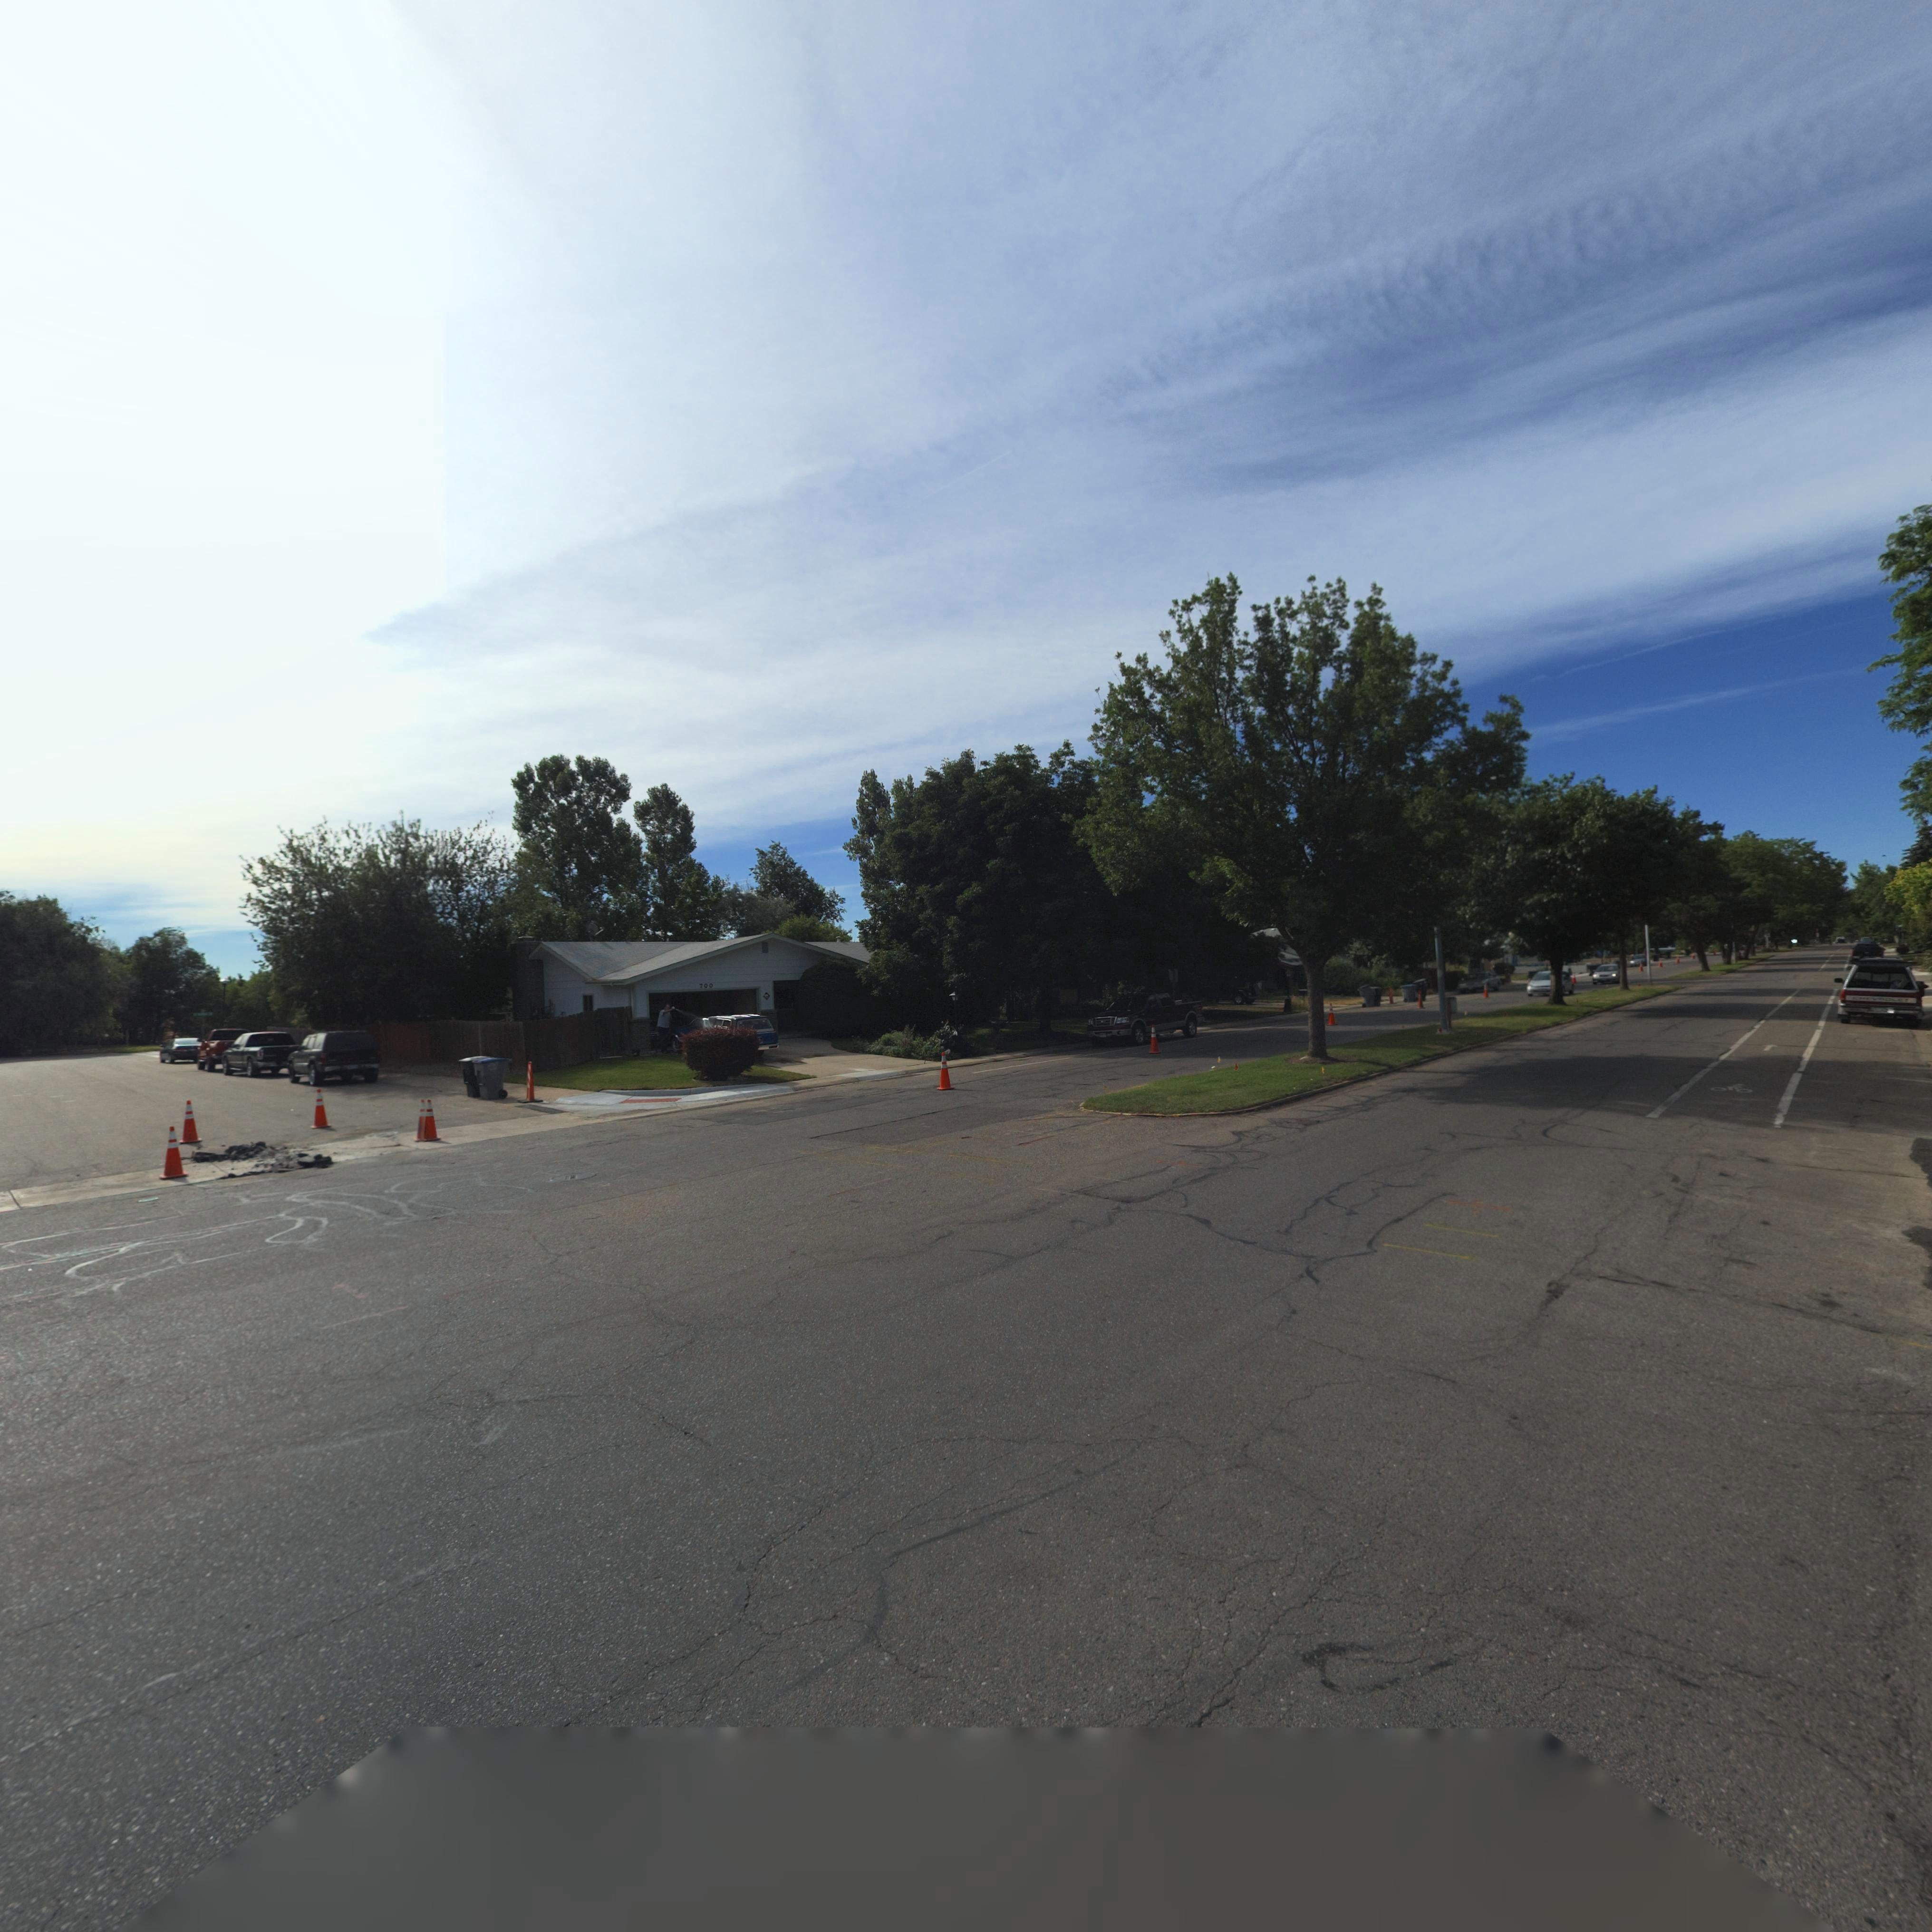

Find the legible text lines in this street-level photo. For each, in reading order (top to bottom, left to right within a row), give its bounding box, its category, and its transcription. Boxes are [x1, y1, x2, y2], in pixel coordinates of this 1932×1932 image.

[698, 983, 713, 988] StreetNumber: 700